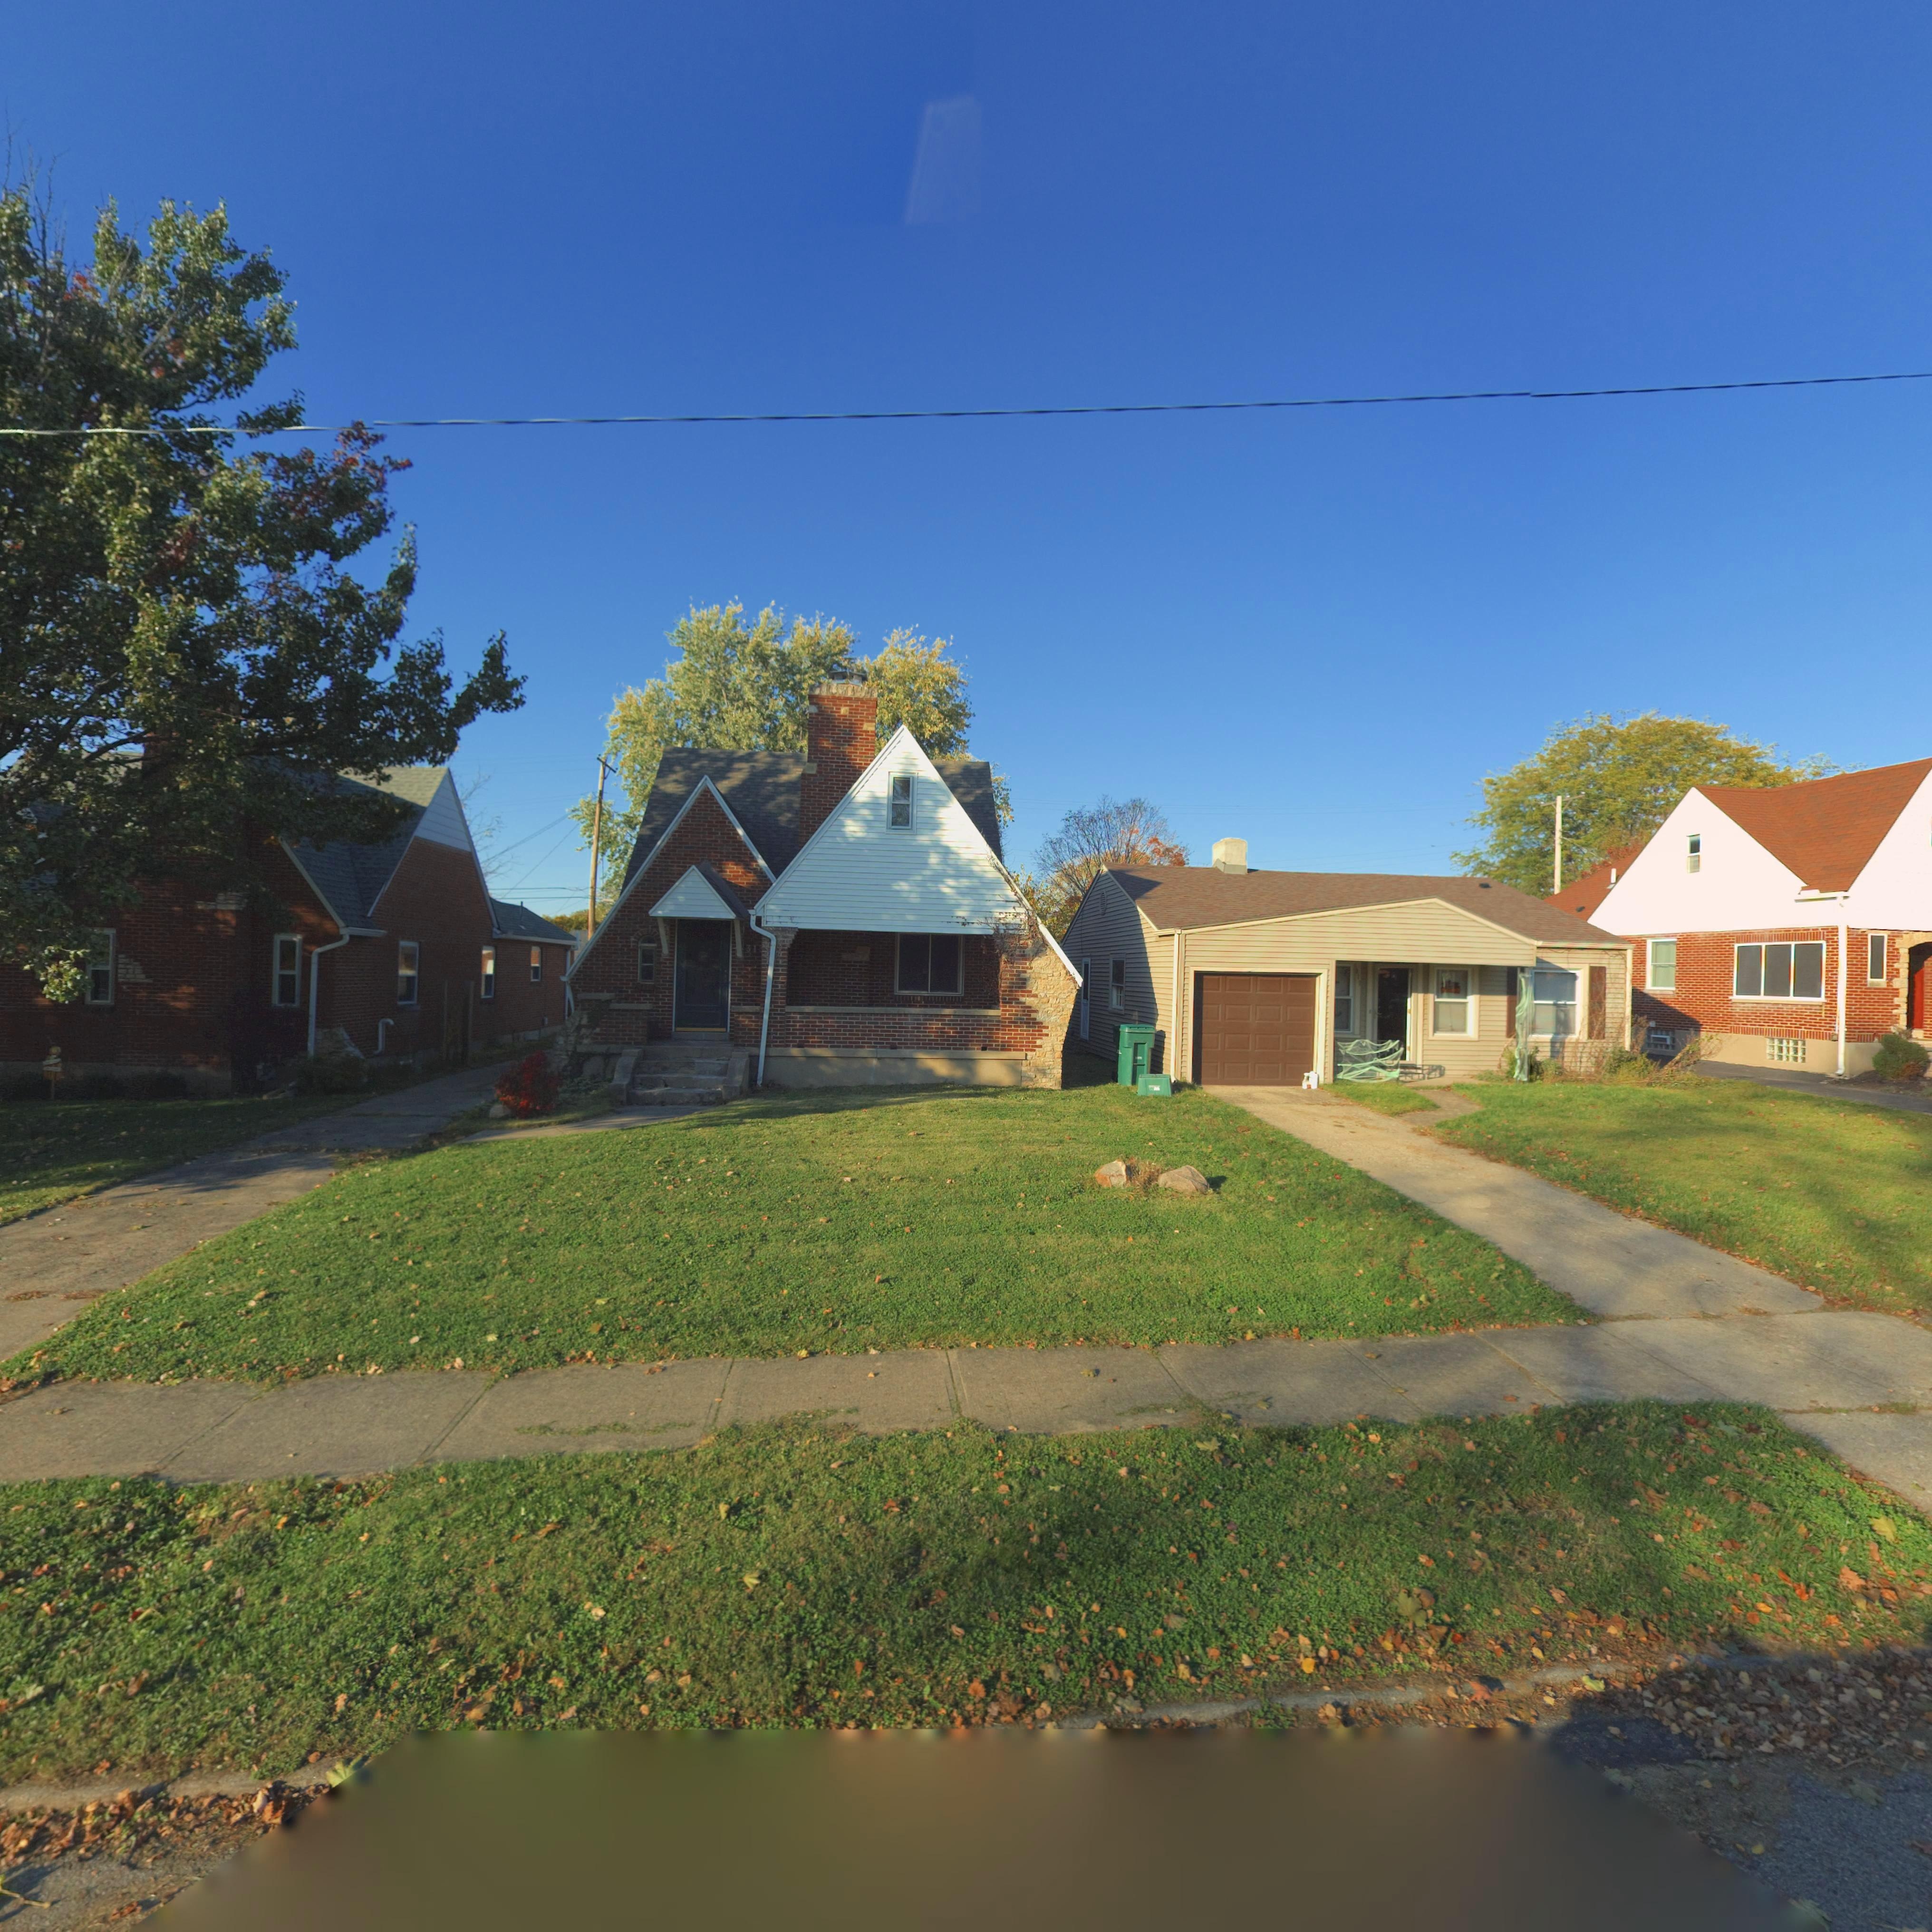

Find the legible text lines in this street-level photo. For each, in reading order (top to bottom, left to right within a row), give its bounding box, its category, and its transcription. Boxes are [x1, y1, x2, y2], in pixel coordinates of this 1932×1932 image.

[744, 943, 758, 954] StreetNumber: 31